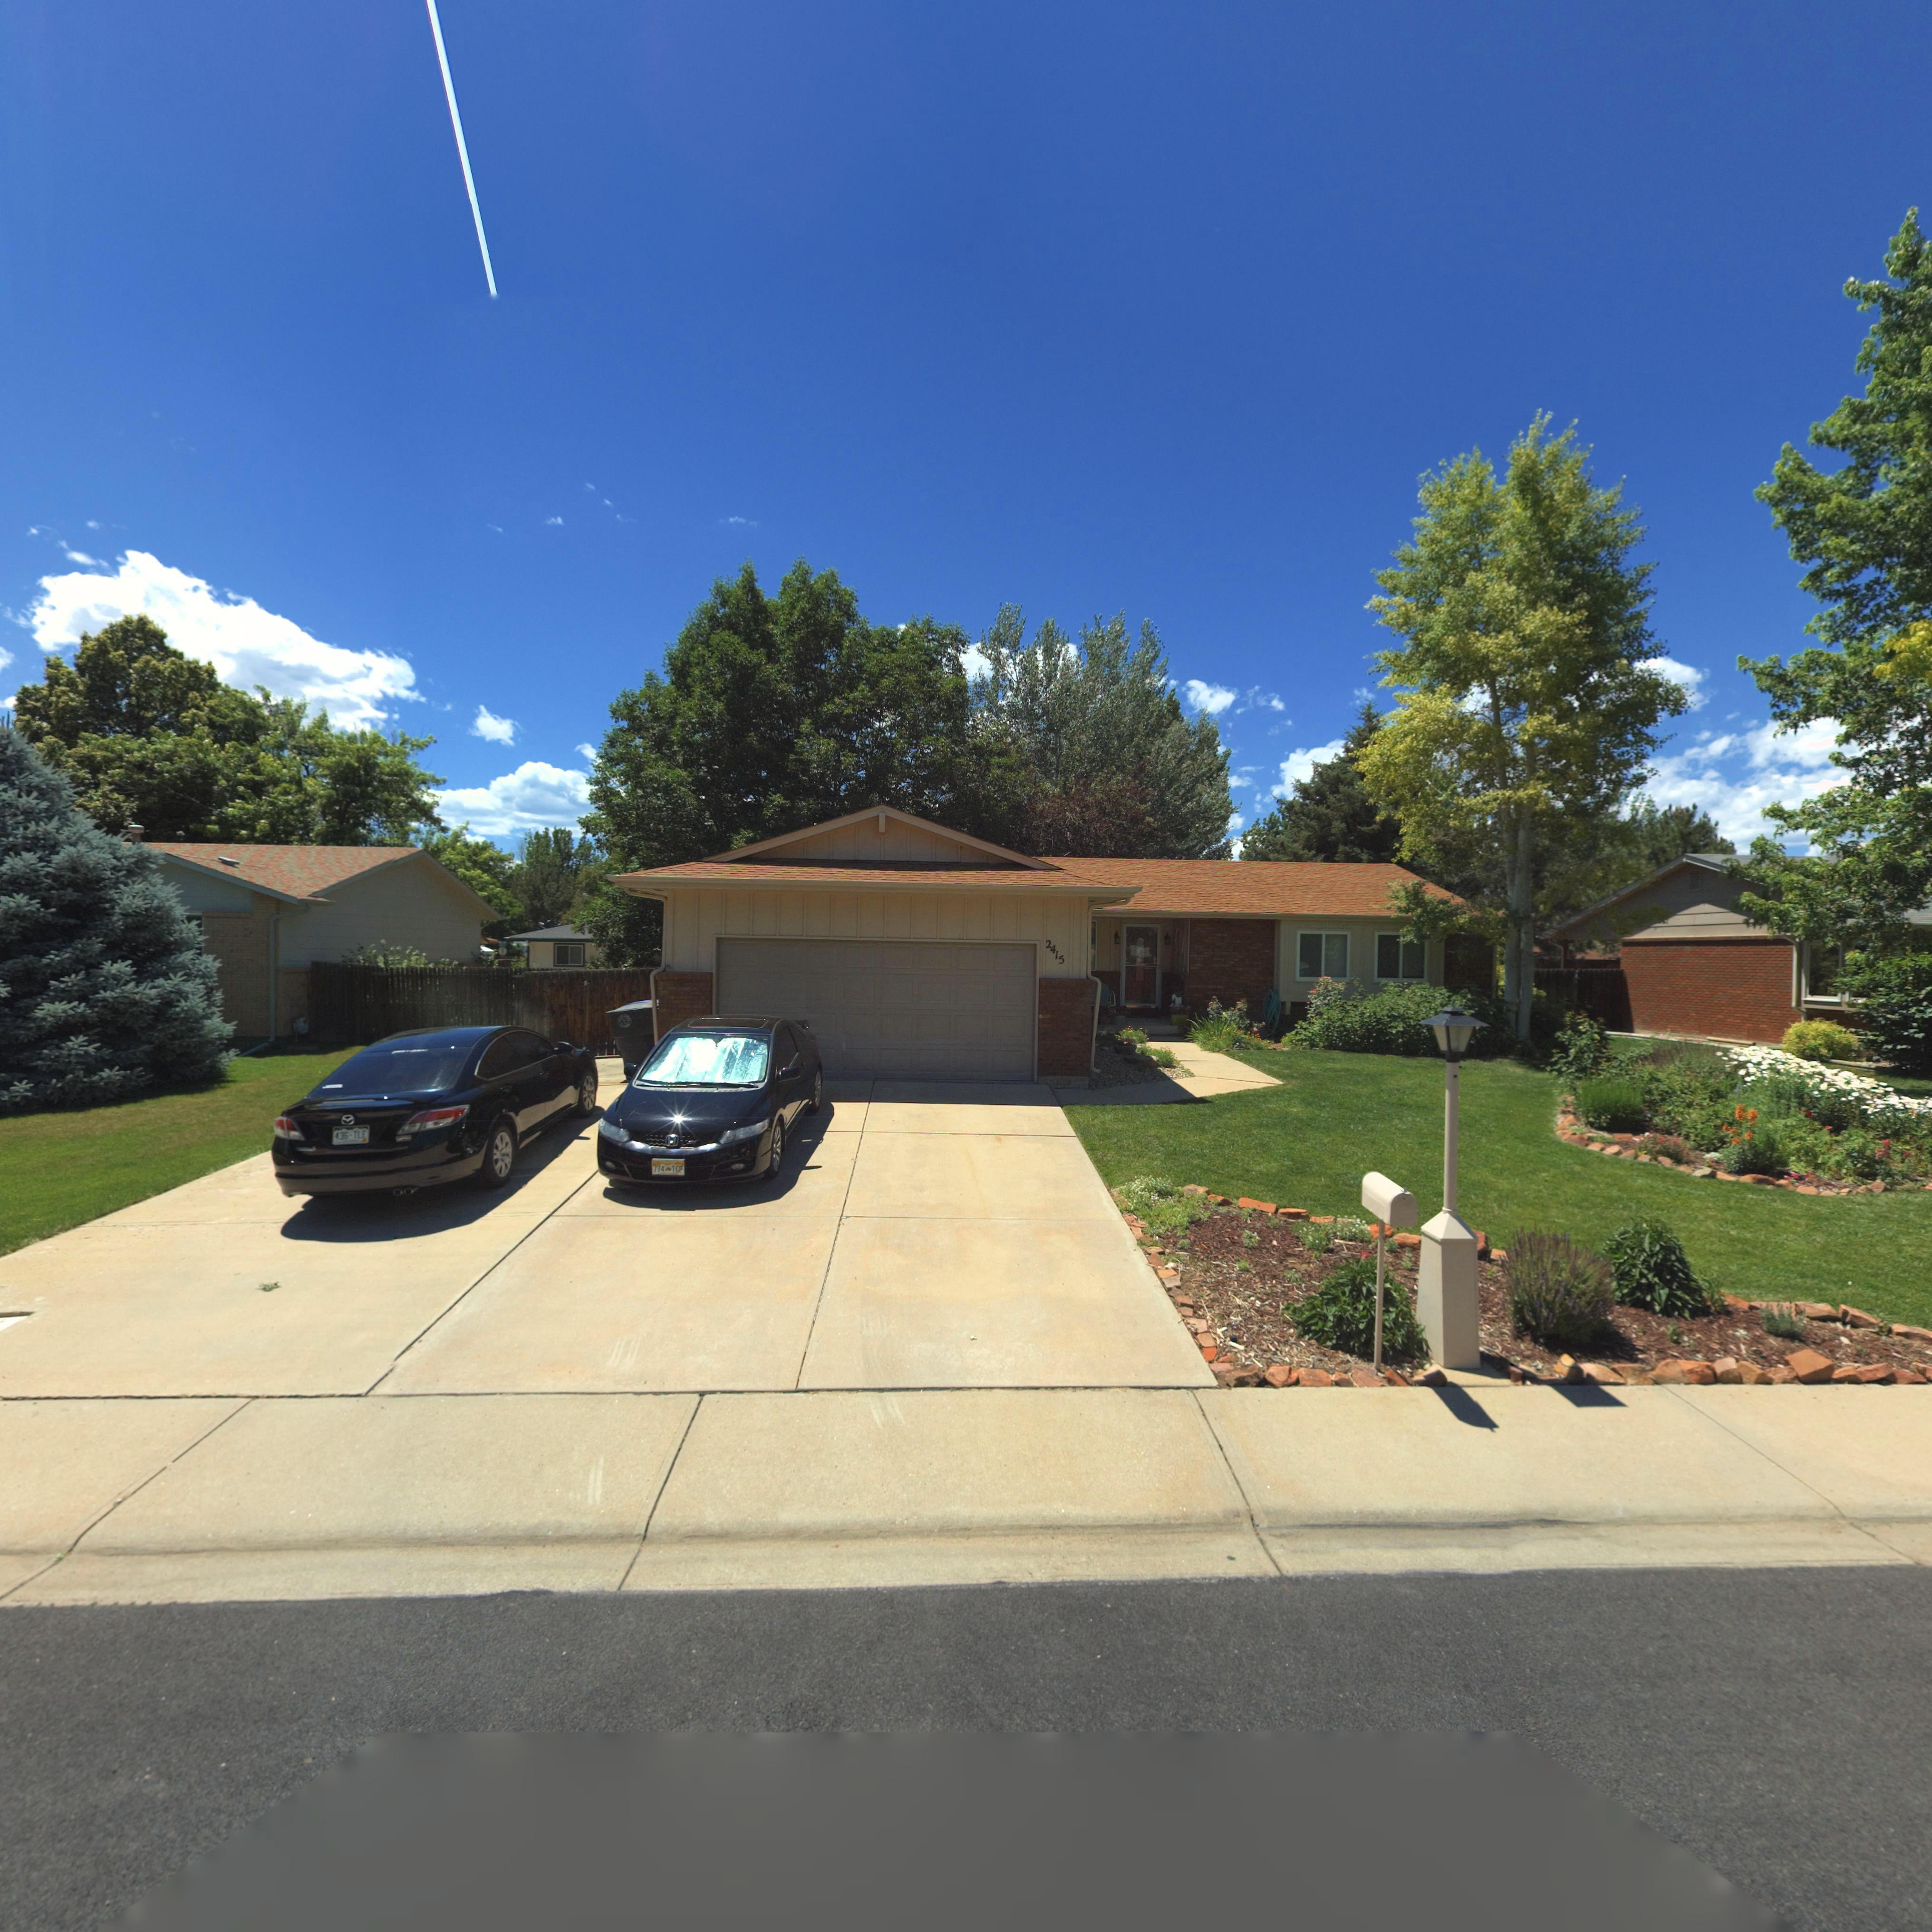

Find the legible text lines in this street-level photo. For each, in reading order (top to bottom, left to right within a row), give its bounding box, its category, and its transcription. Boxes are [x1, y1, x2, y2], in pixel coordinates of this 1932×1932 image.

[1045, 939, 1065, 965] StreetNumber: 2415